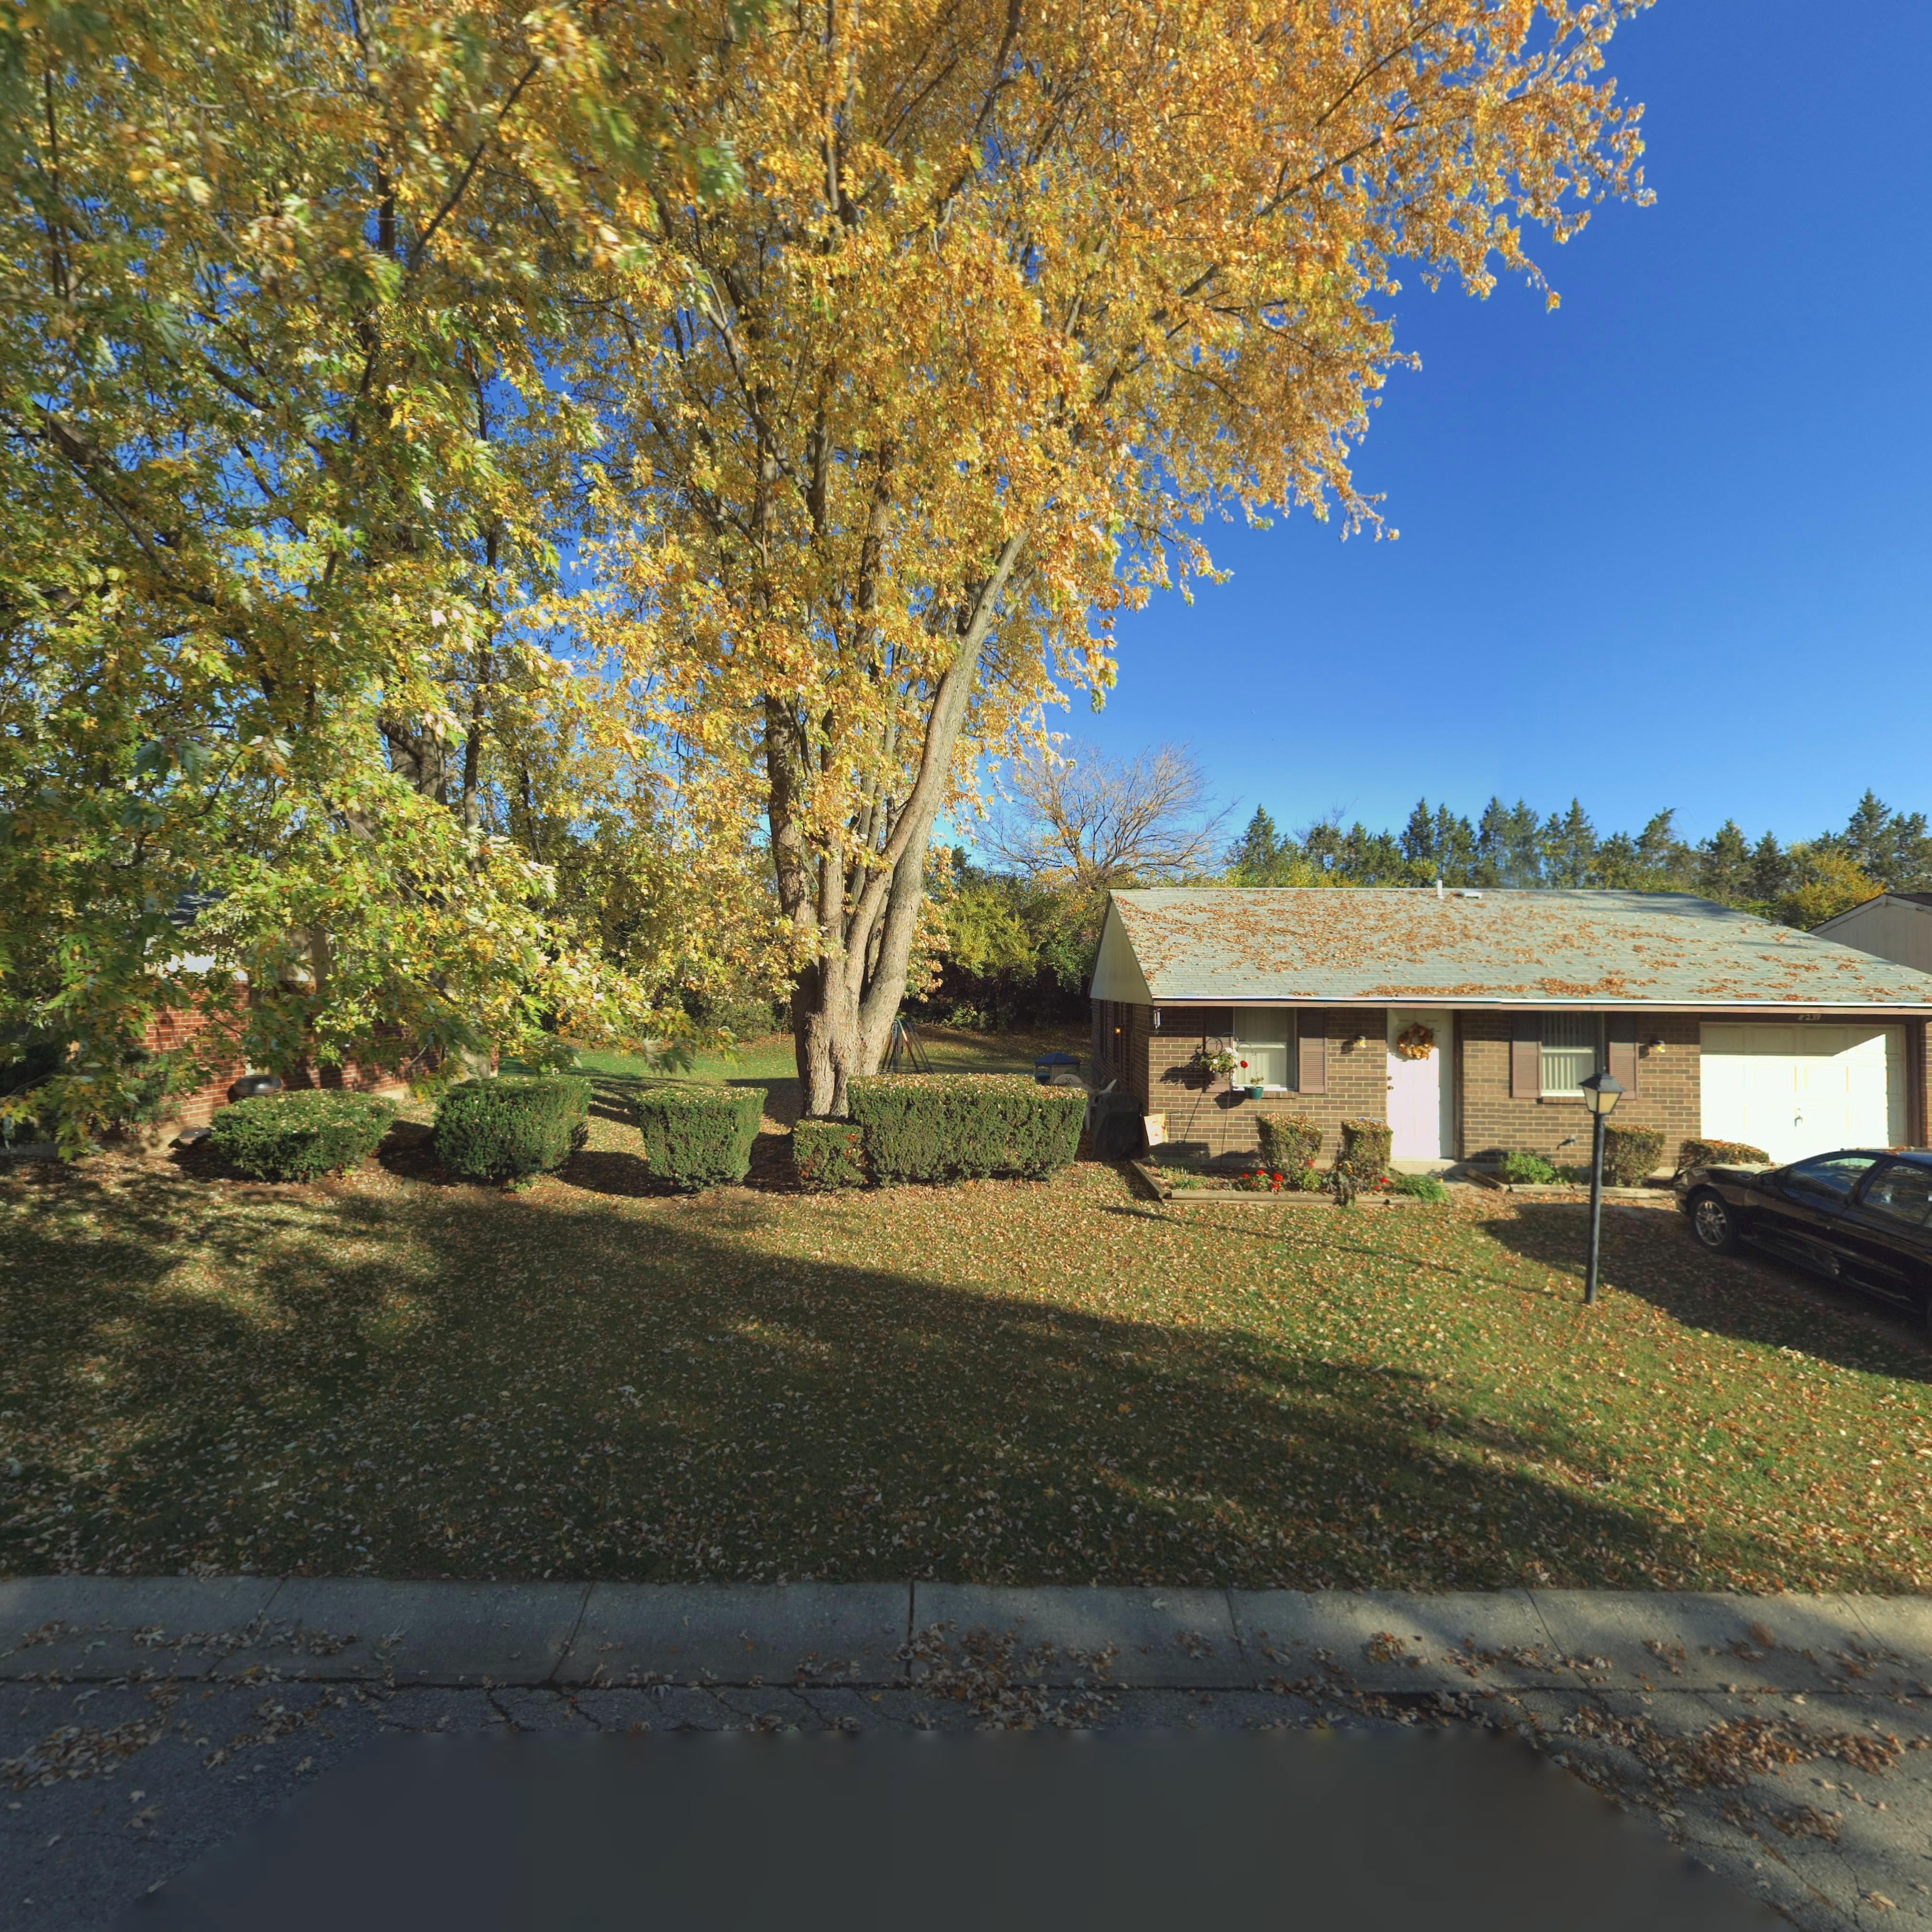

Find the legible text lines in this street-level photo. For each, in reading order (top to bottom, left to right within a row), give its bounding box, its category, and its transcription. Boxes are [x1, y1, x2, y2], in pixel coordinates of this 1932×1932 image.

[1797, 1013, 1822, 1021] StreetNumber: 8239